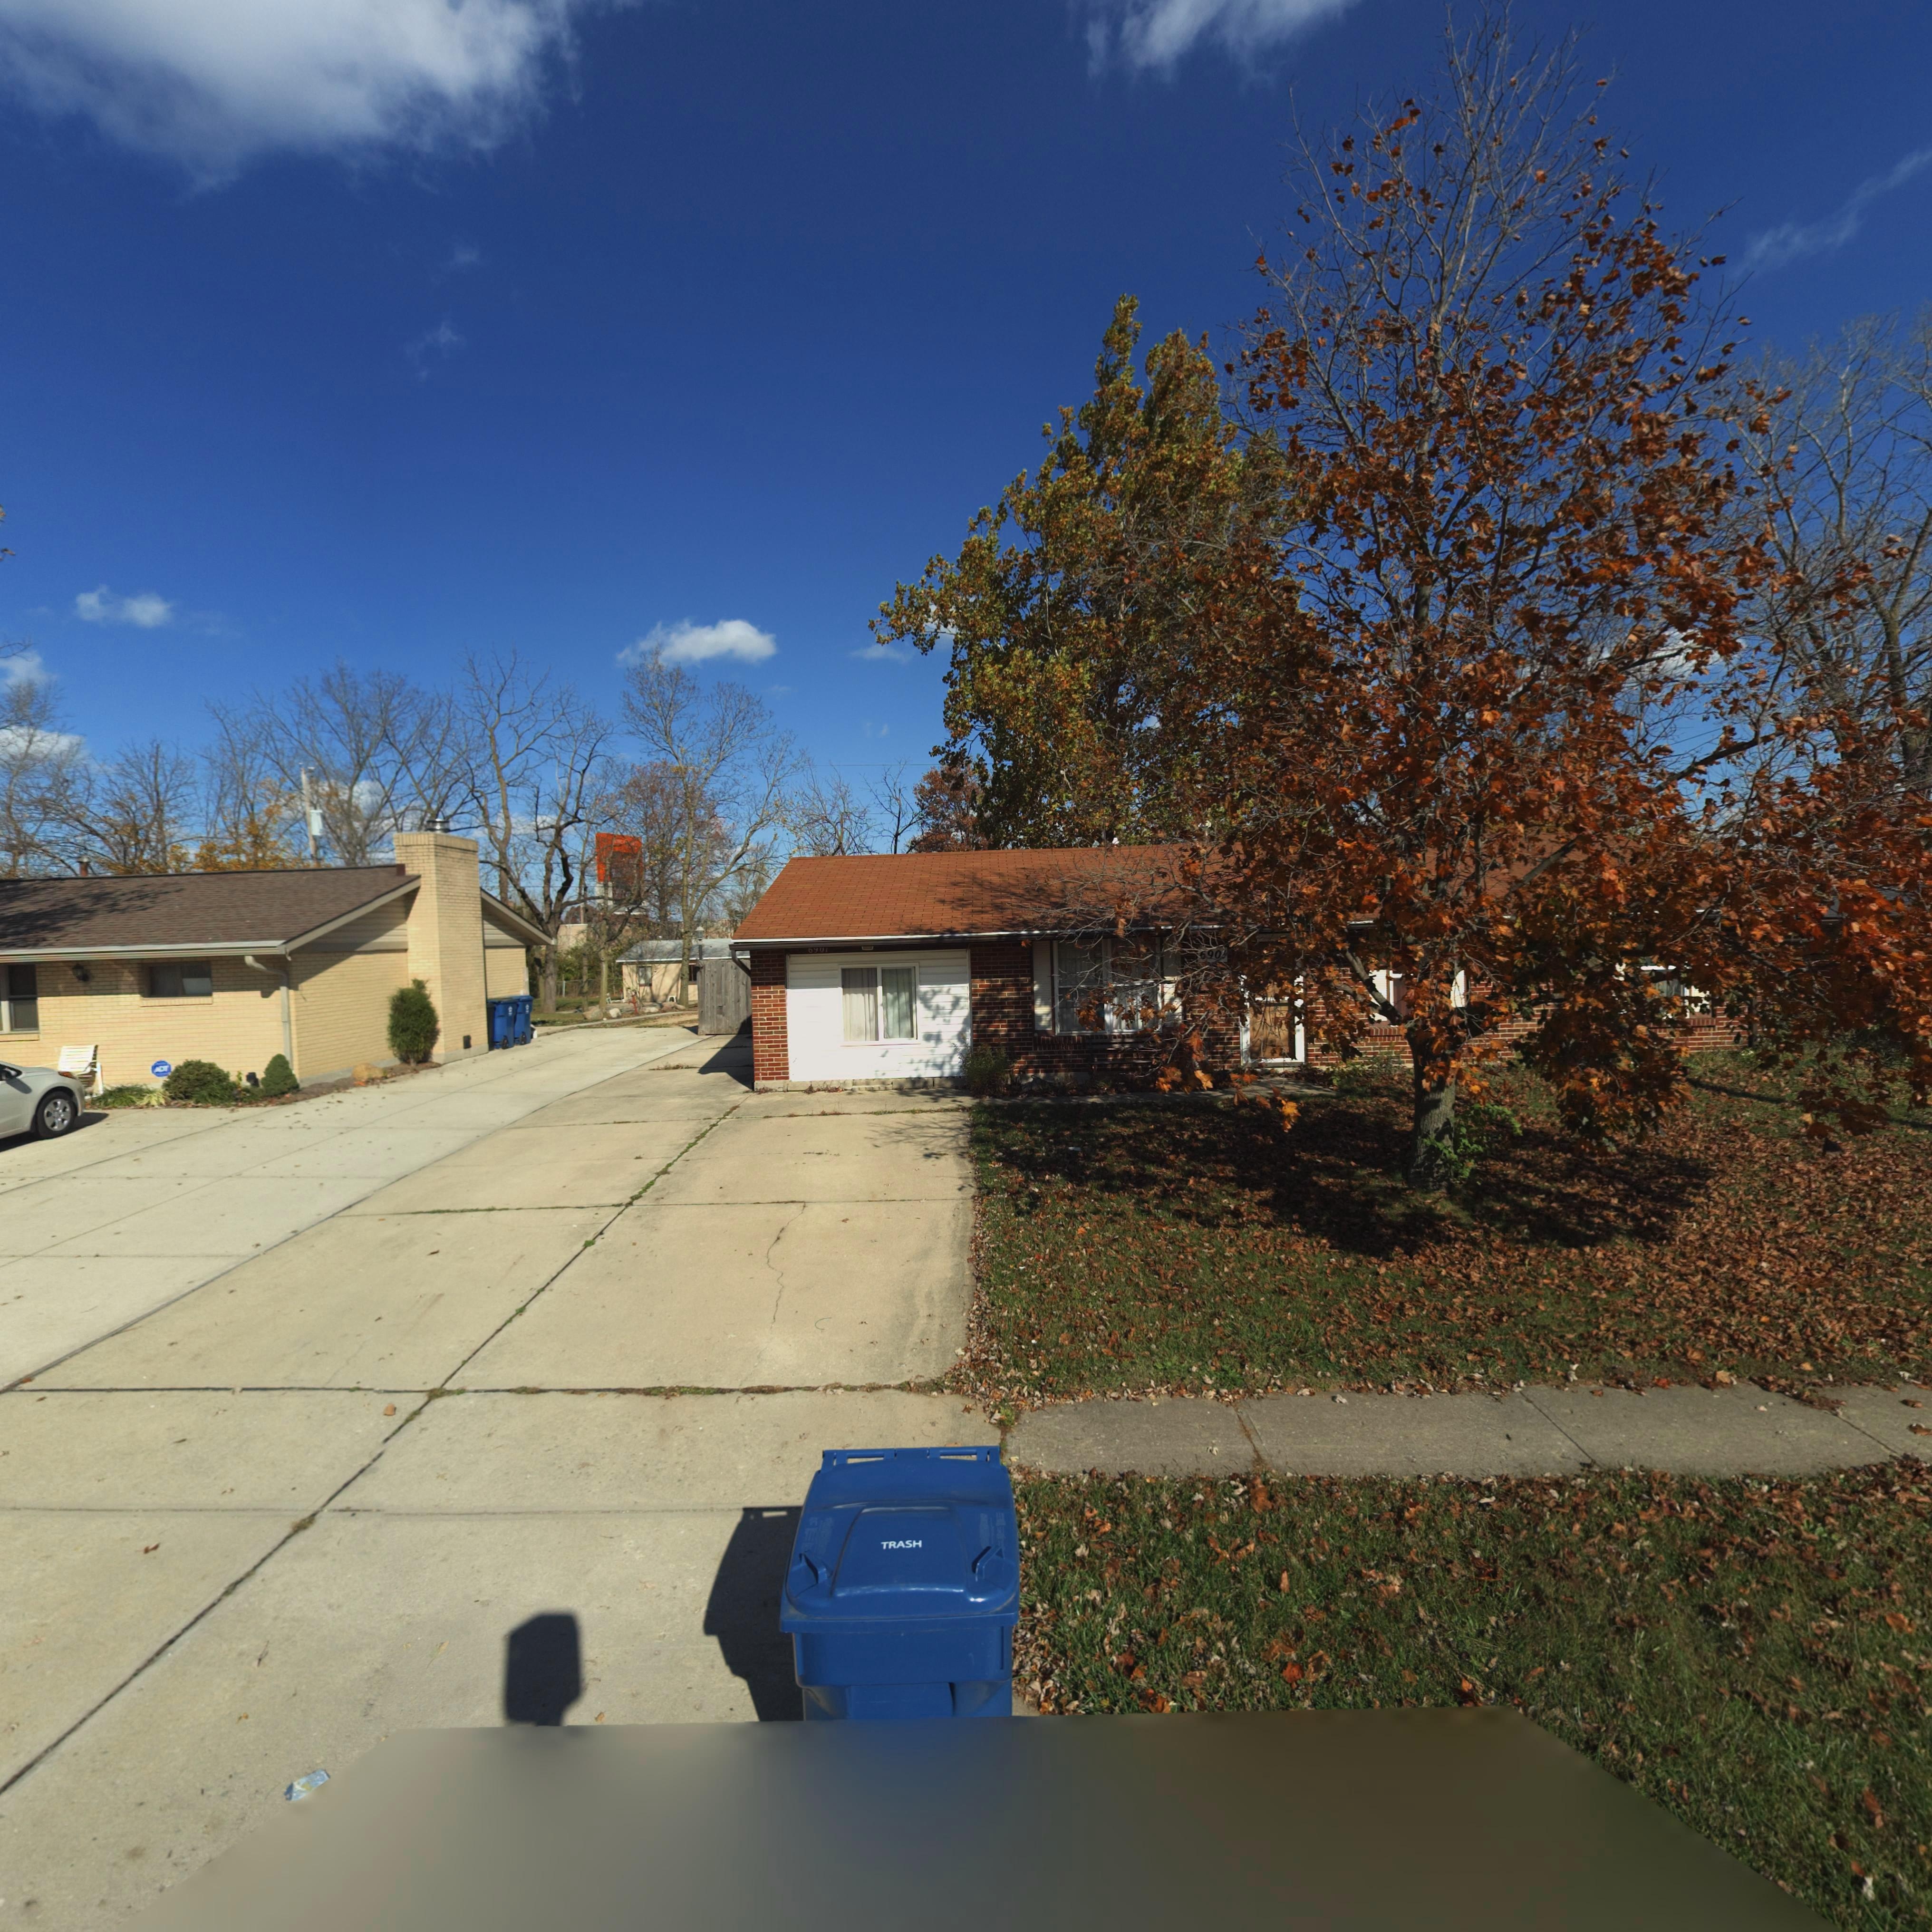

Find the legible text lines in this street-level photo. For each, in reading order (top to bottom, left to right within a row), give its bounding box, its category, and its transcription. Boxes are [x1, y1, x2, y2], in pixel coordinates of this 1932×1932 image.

[1198, 949, 1222, 961] StreetNumber: 690